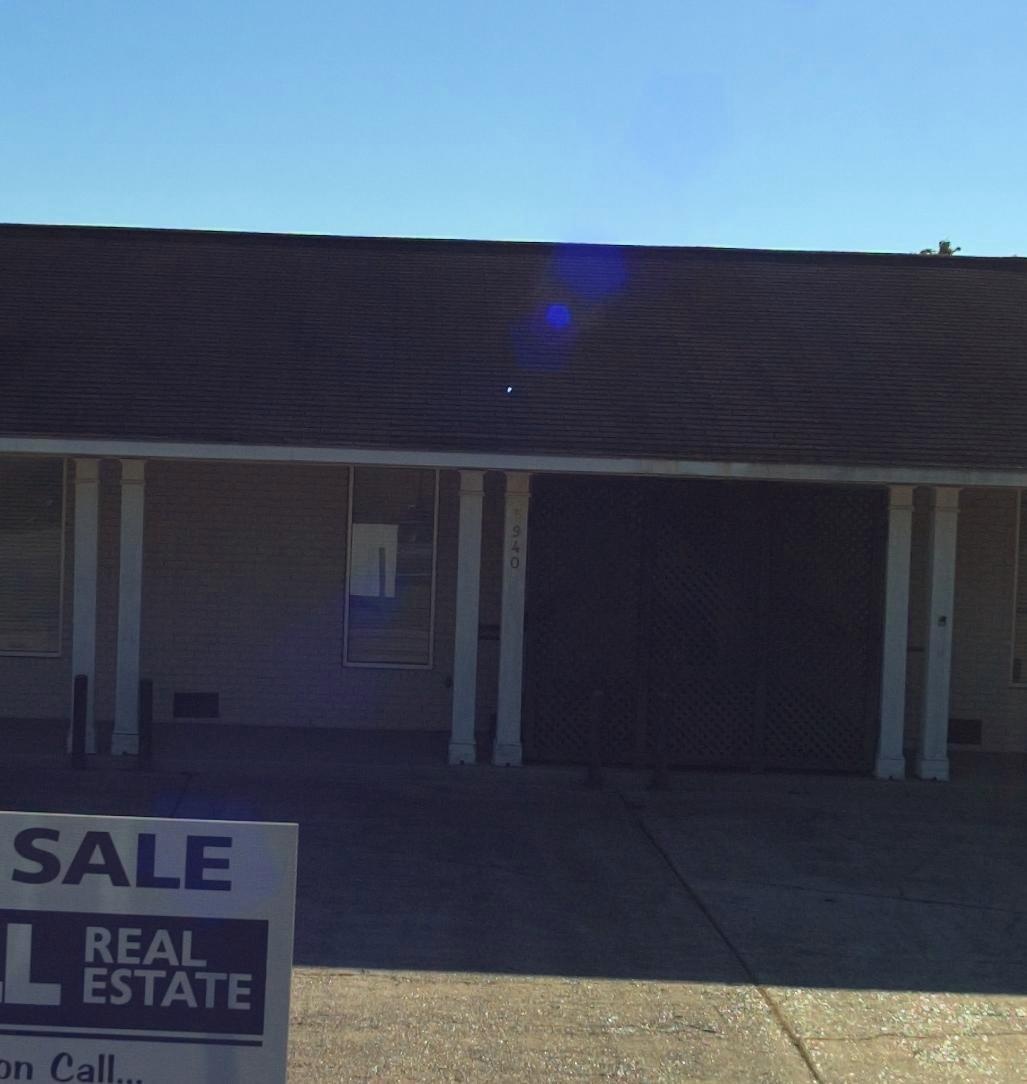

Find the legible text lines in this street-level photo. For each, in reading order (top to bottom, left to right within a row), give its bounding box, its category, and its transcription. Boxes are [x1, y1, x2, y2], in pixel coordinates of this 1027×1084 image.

[507, 506, 524, 573] StreetNumber: *940
[9, 823, 235, 894] None: SALE
[3, 920, 63, 1007] None: L
[83, 923, 209, 969] None: REAL
[80, 964, 254, 1013] None: ESTATE
[12, 1050, 116, 1084] None: n Call